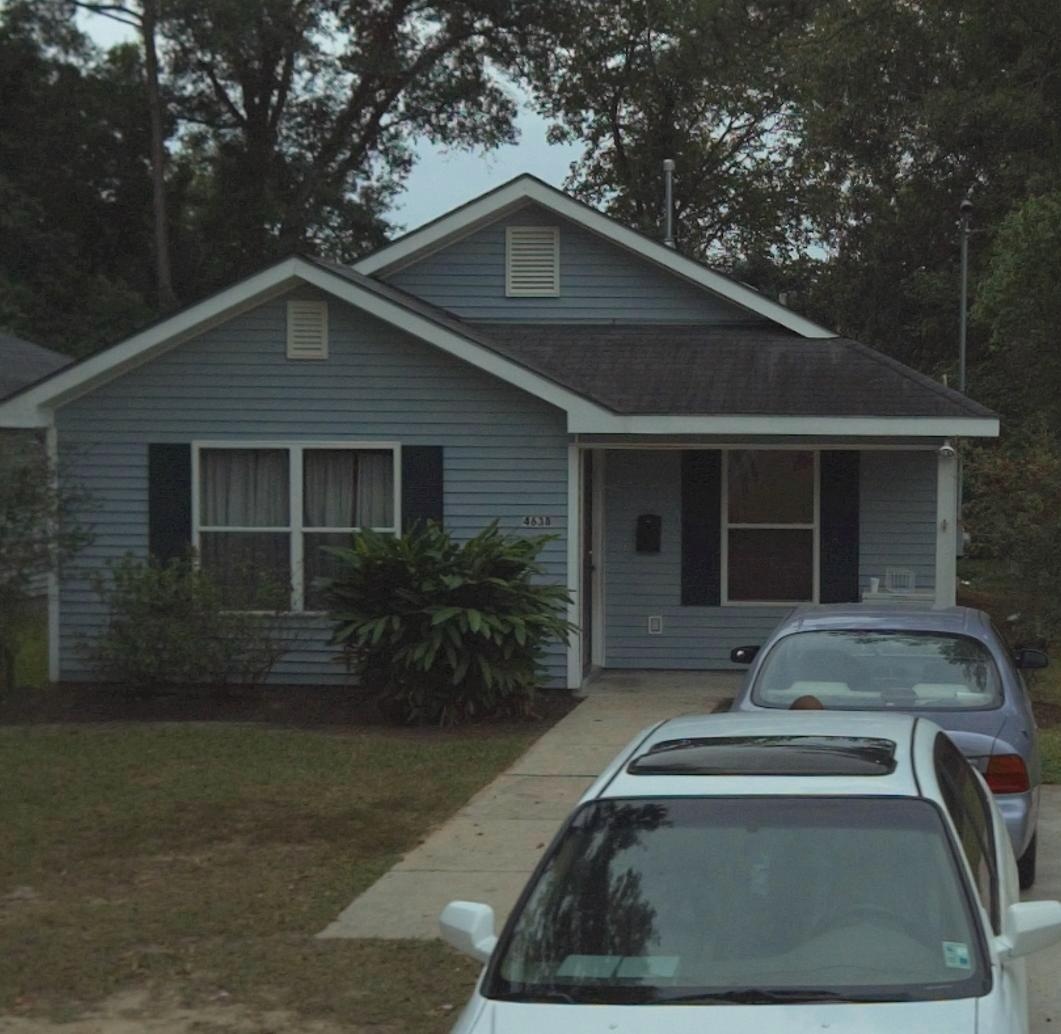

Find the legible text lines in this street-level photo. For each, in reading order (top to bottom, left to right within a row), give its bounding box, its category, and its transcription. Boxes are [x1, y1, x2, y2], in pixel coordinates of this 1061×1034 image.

[522, 516, 551, 526] StreetNumber: 4638